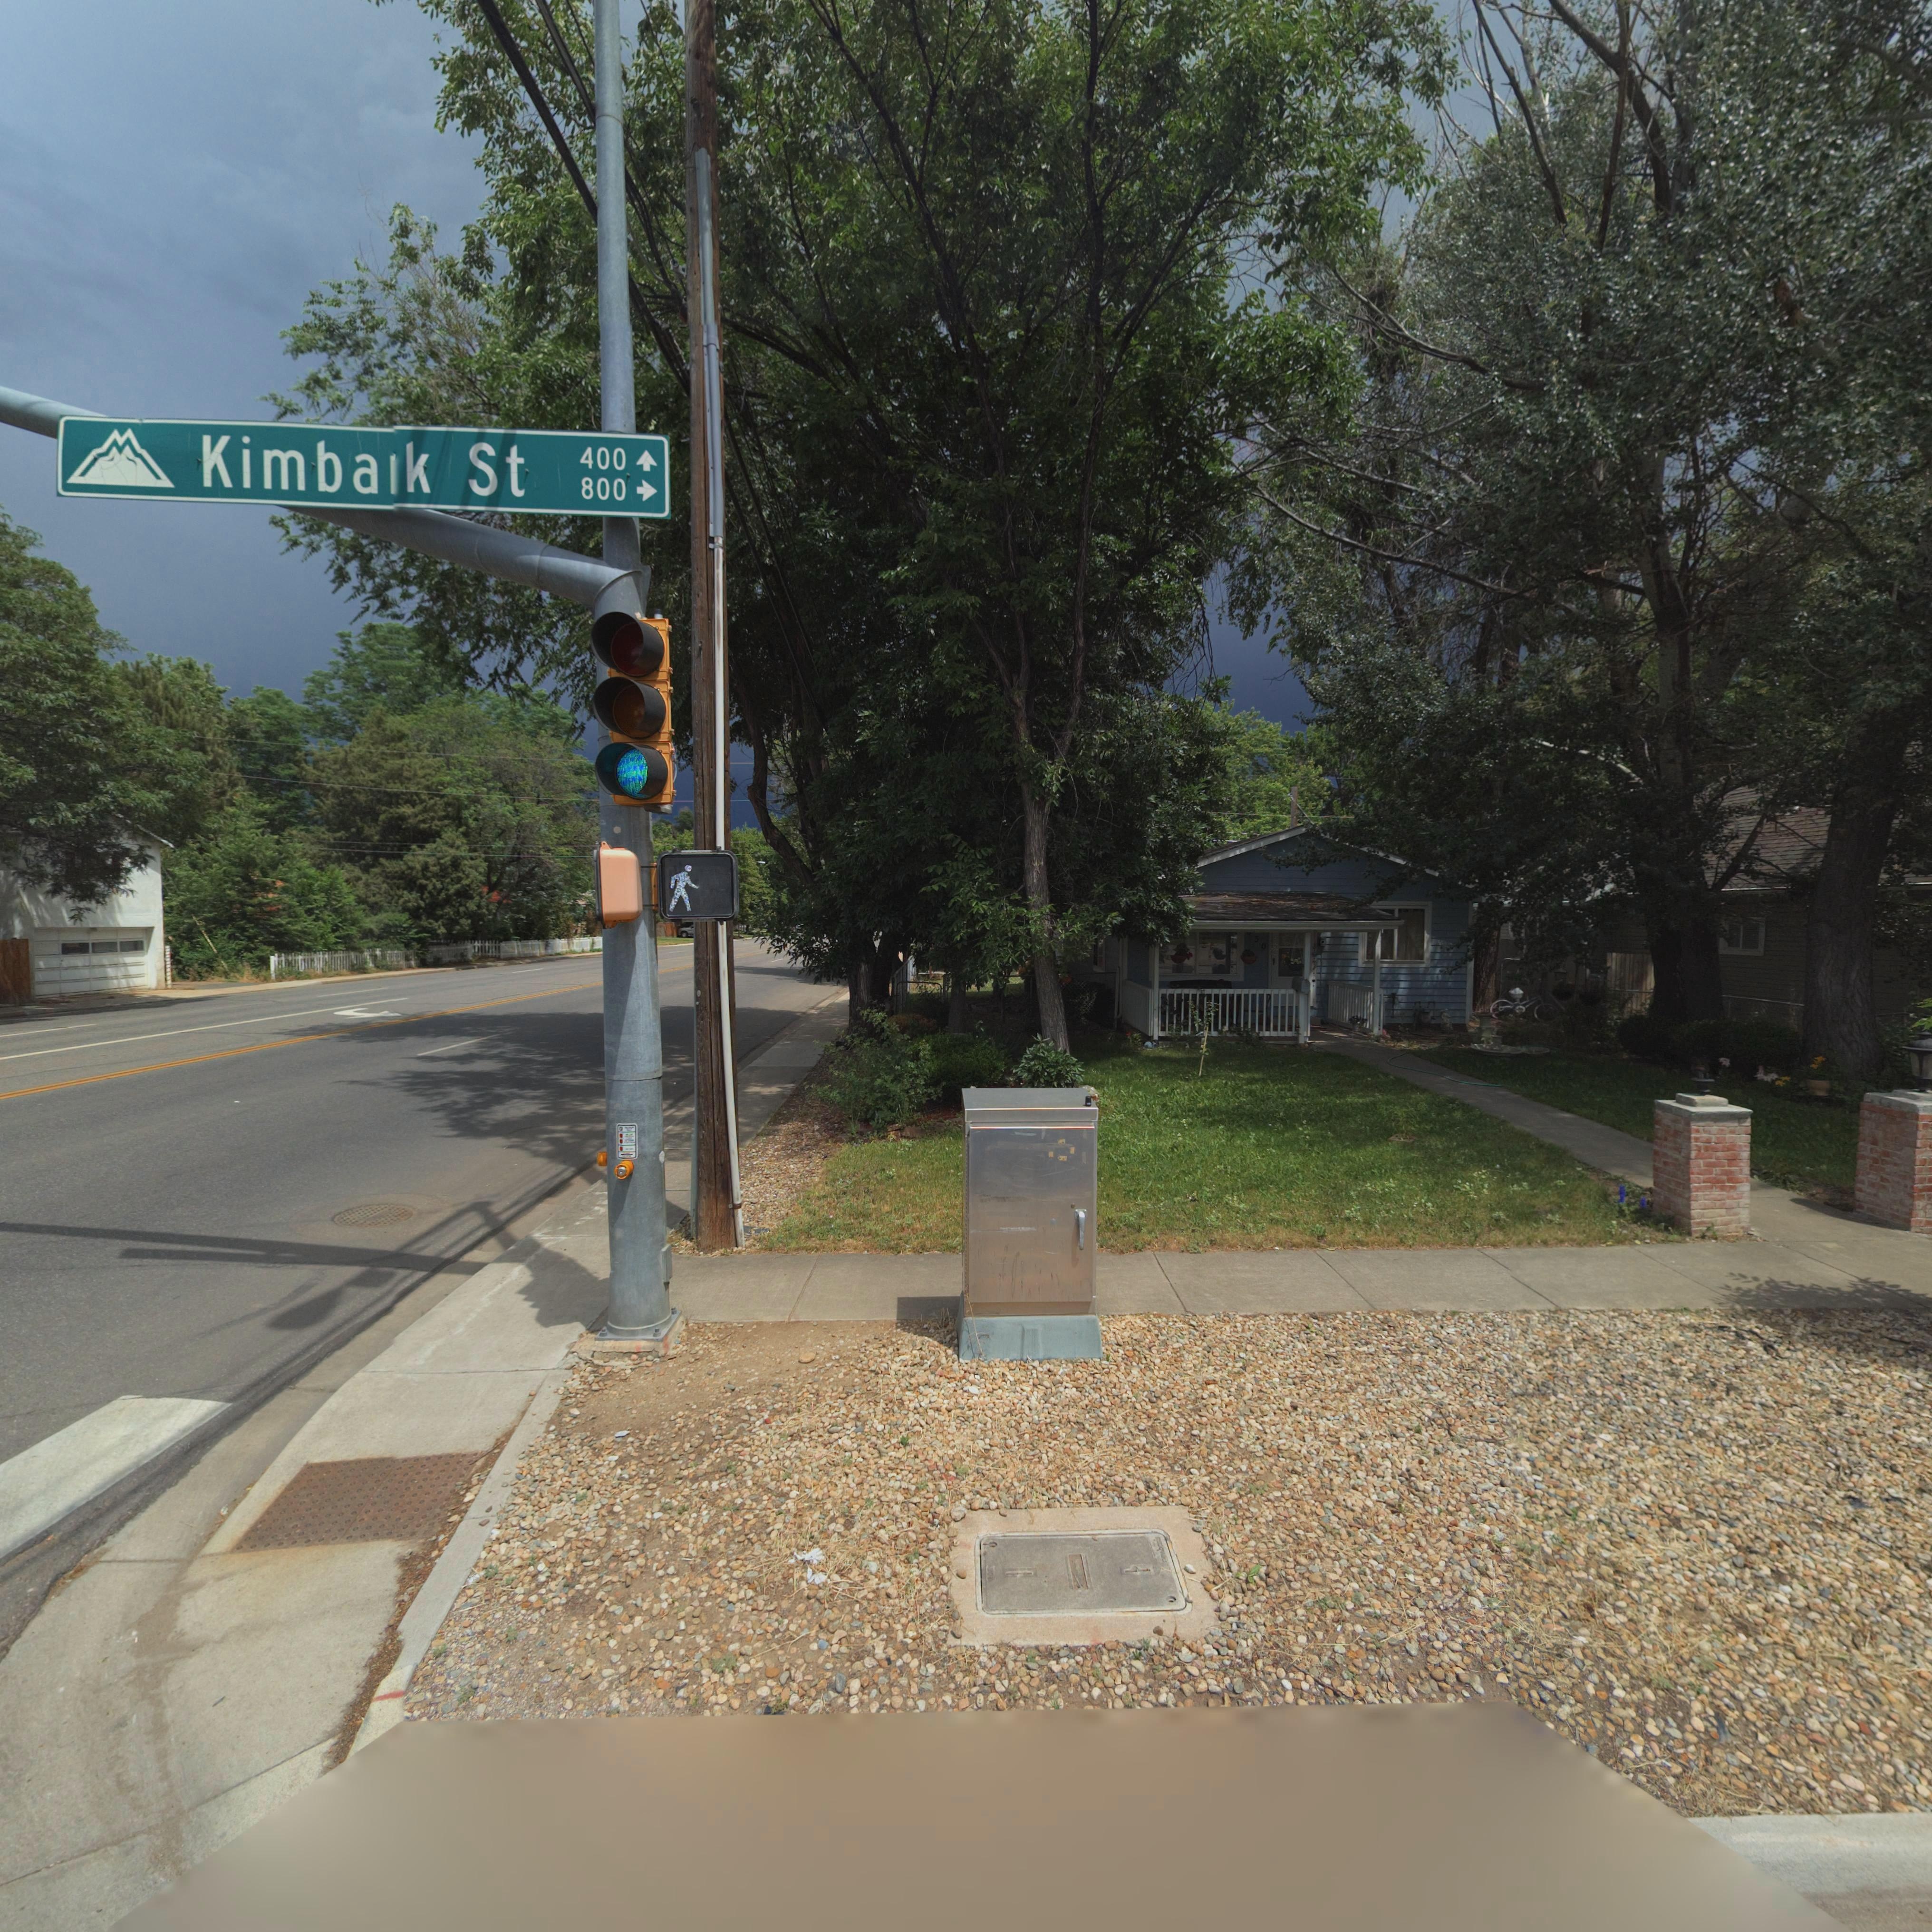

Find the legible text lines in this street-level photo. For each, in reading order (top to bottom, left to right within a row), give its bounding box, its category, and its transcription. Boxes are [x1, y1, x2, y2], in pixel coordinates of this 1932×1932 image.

[202, 433, 525, 498] StreetName: Kimba*k St
[579, 445, 626, 471] StreetNumberRange: 400
[580, 476, 658, 502] StreetNumberRange: 800->